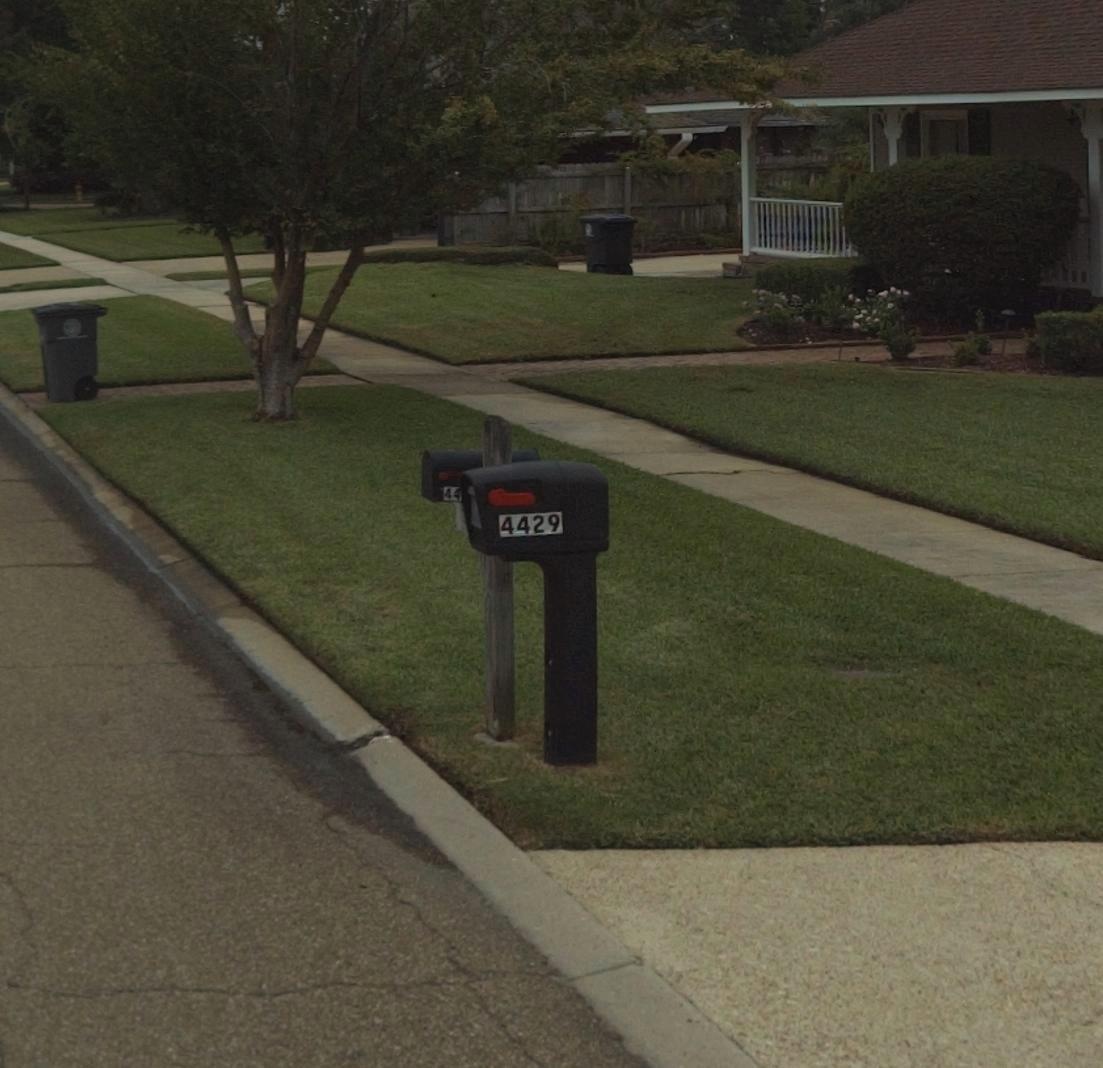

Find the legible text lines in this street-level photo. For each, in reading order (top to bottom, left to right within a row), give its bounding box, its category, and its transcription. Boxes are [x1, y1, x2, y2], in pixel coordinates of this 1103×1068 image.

[444, 487, 463, 499] StreetNumber: 44
[500, 513, 560, 535] StreetNumber: 4429